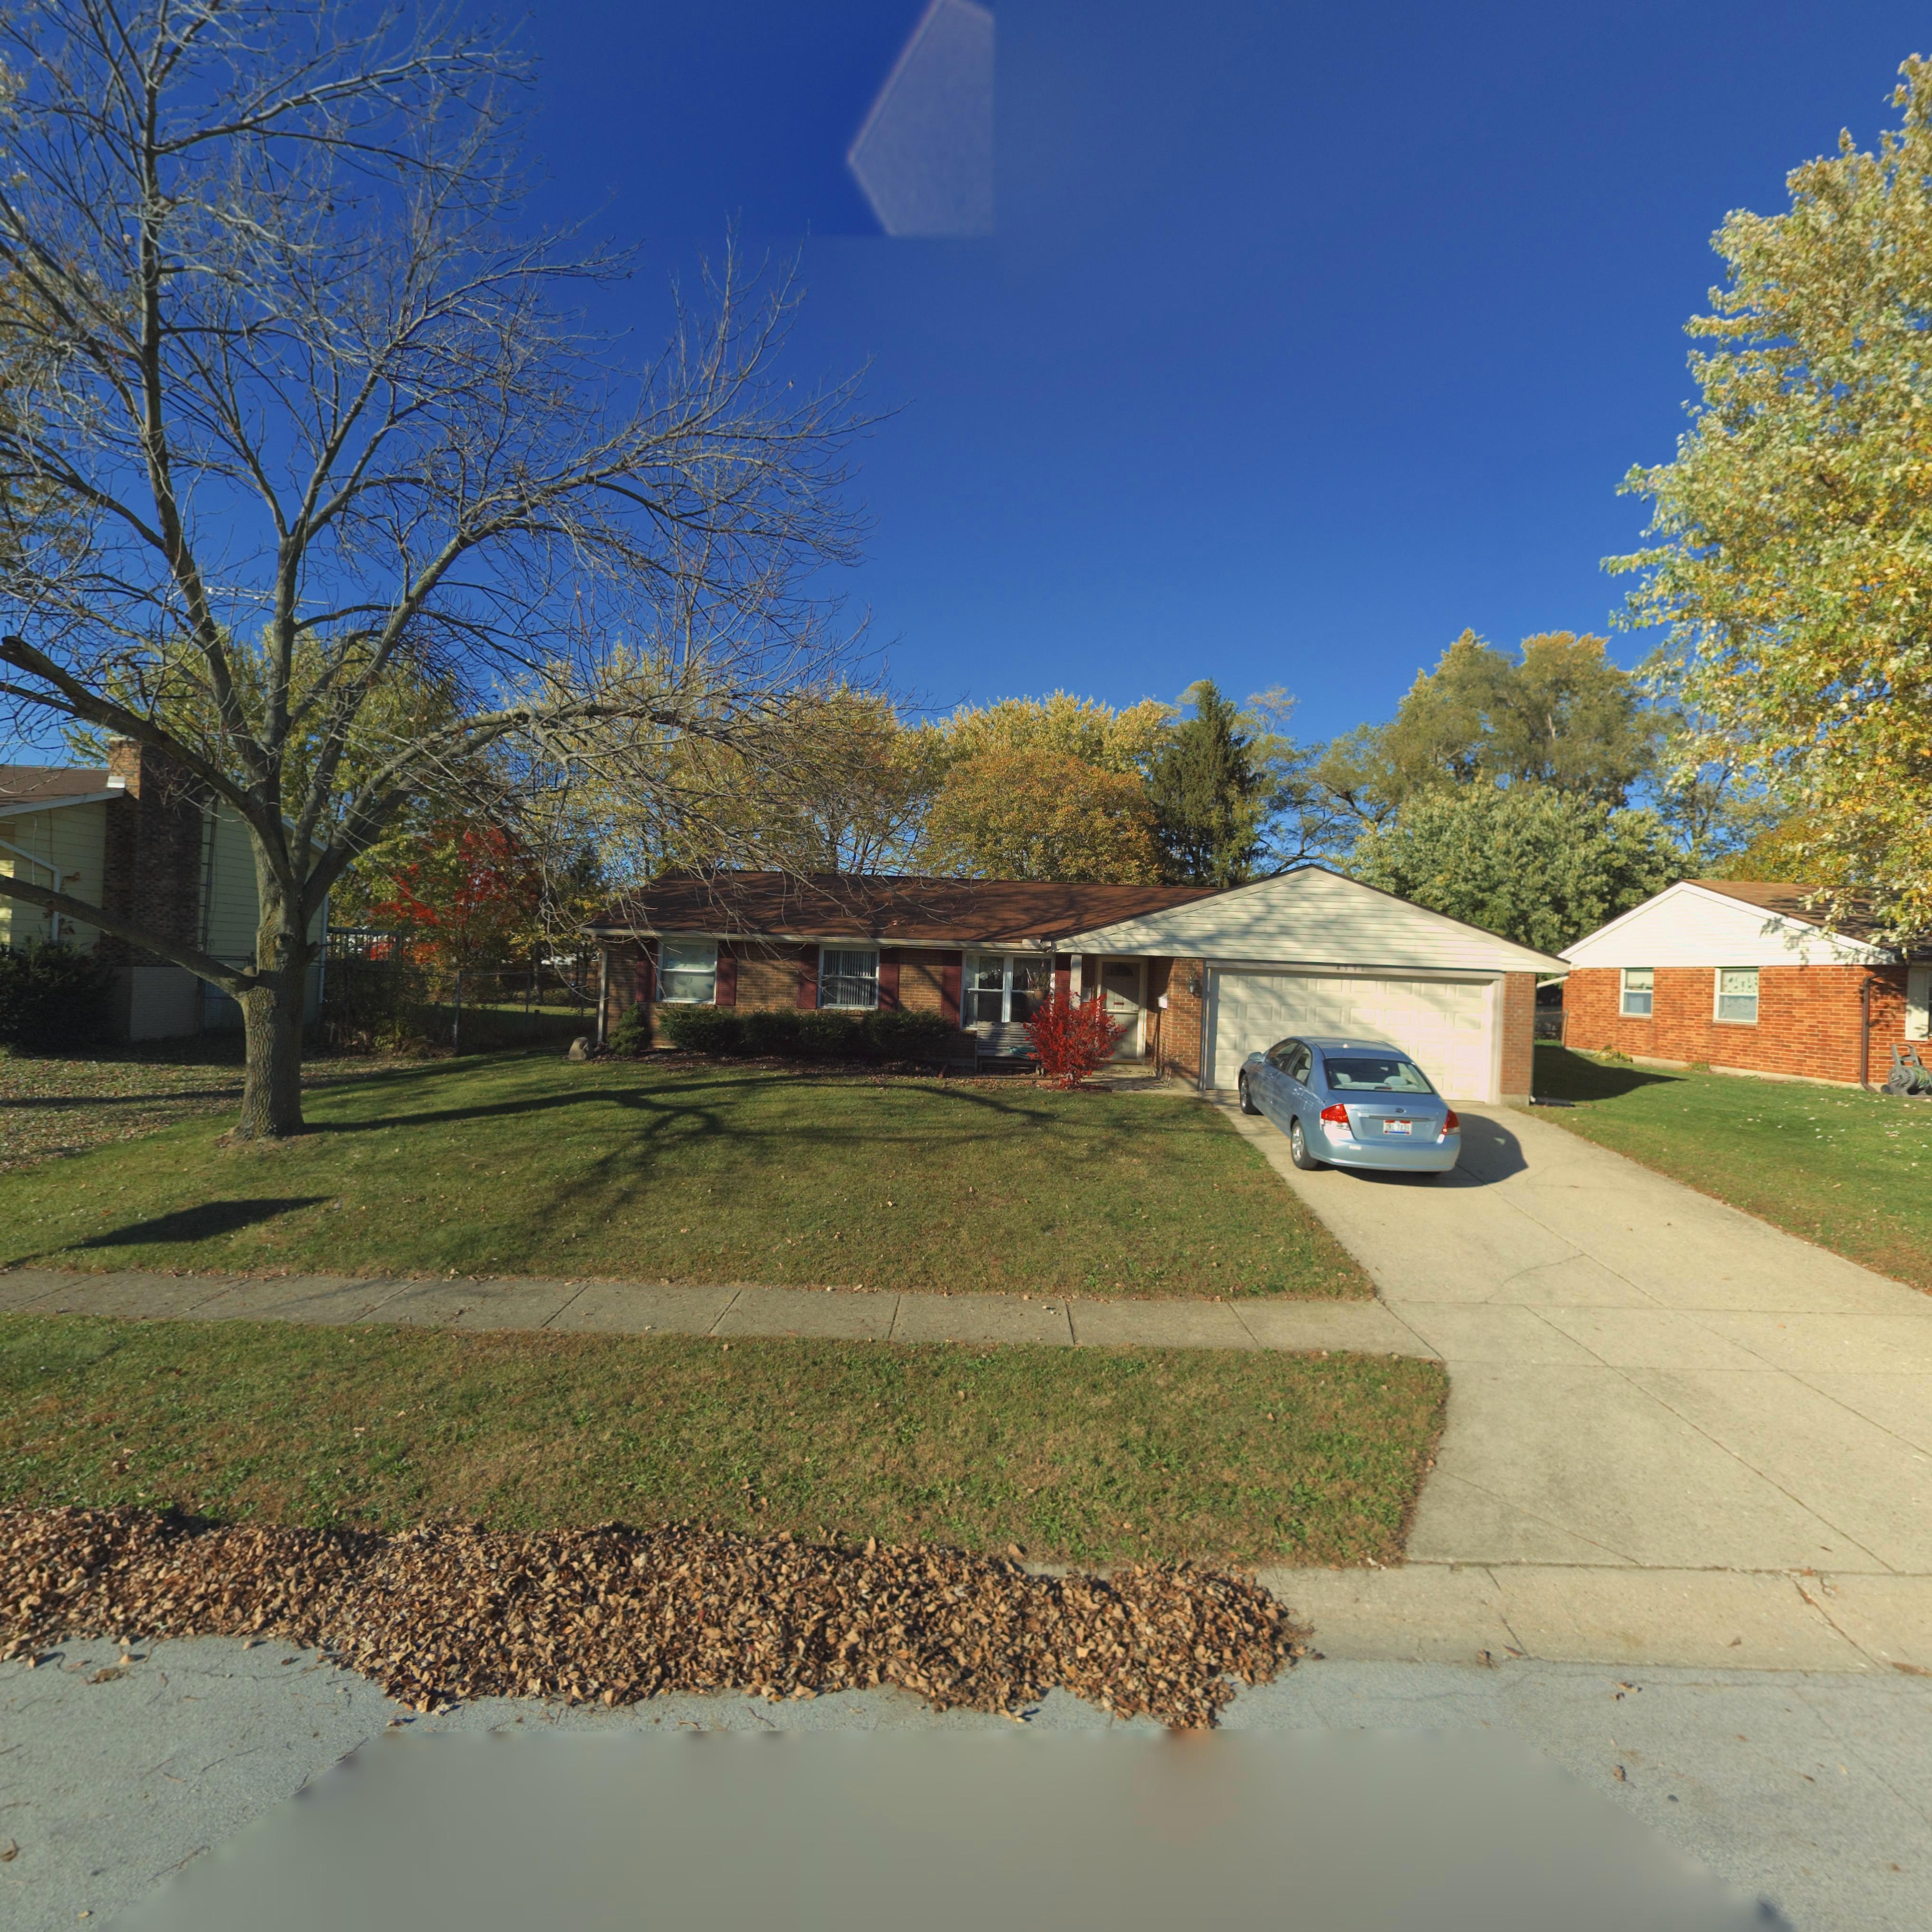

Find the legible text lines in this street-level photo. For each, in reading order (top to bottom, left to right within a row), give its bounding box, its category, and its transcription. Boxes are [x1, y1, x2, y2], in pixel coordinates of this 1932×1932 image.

[1335, 963, 1365, 973] StreetNumber: 499*